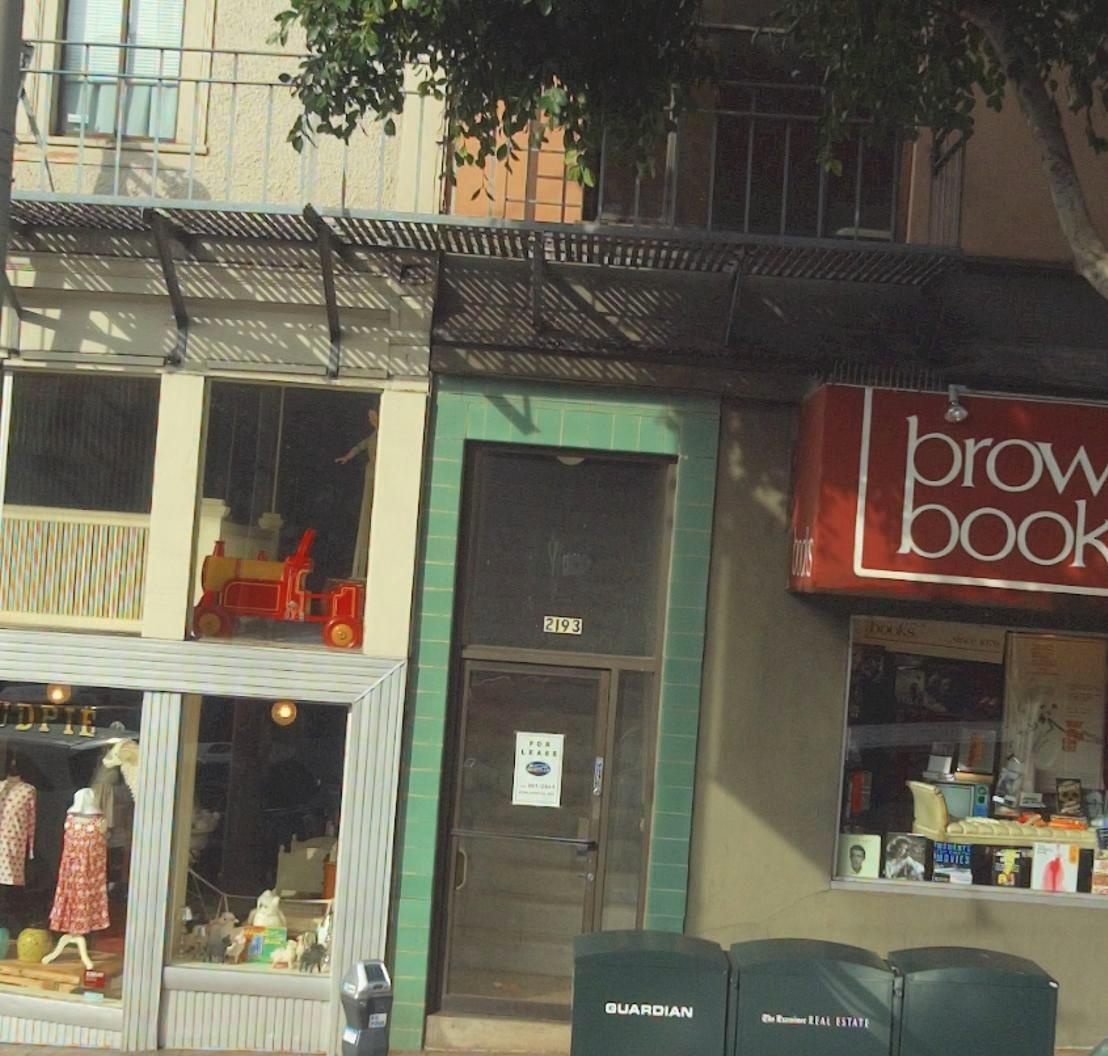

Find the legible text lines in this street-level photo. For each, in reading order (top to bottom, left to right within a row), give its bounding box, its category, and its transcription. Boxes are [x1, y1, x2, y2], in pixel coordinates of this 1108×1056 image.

[900, 409, 1050, 498] BusinessName: bro
[892, 481, 1081, 572] BusinessName: boo
[543, 615, 583, 635] StreetNumber: 2193
[866, 614, 919, 641] None: books
[12, 699, 98, 740] BusinessName: DPIE
[526, 737, 553, 750] None: FOR
[519, 746, 560, 759] None: LEASE
[934, 852, 972, 867] None: MOVIES
[602, 999, 696, 1021] None: GUARDIAN
[805, 1012, 872, 1031] None: REAL ESTATE